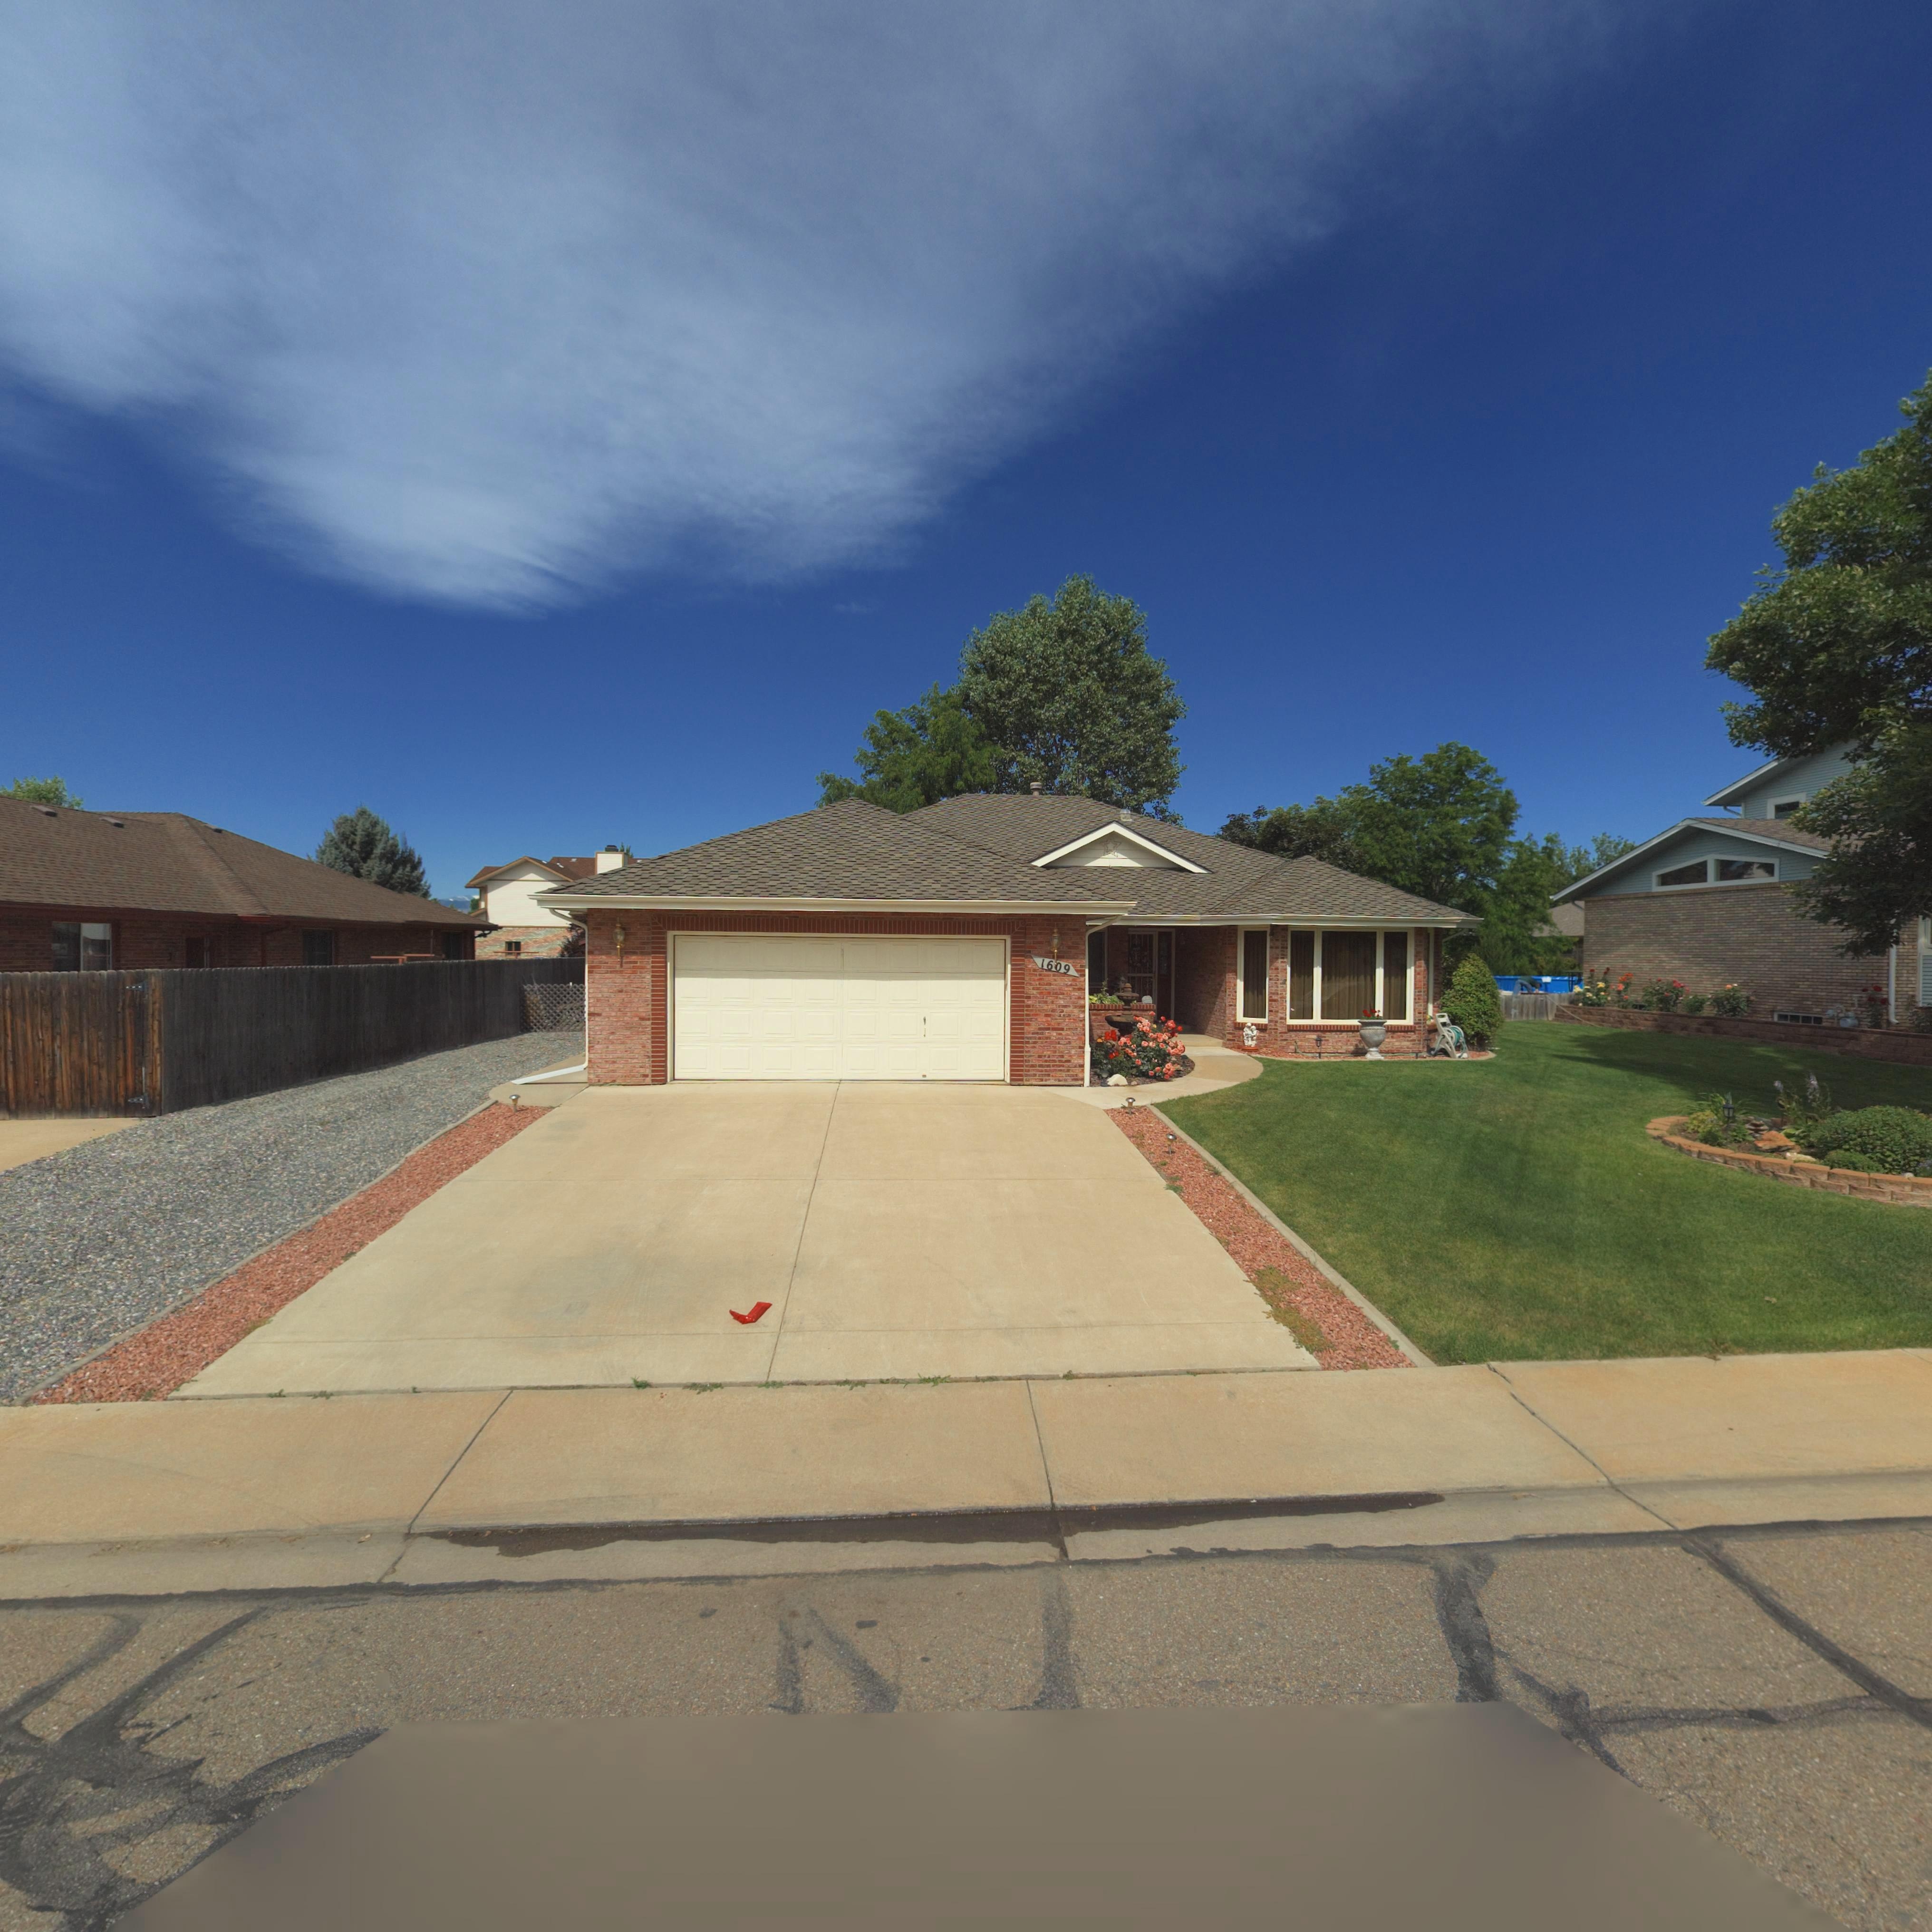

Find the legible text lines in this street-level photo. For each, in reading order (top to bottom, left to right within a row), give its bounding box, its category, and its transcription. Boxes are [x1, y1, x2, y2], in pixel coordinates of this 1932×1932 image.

[1040, 957, 1071, 974] StreetNumber: 1609